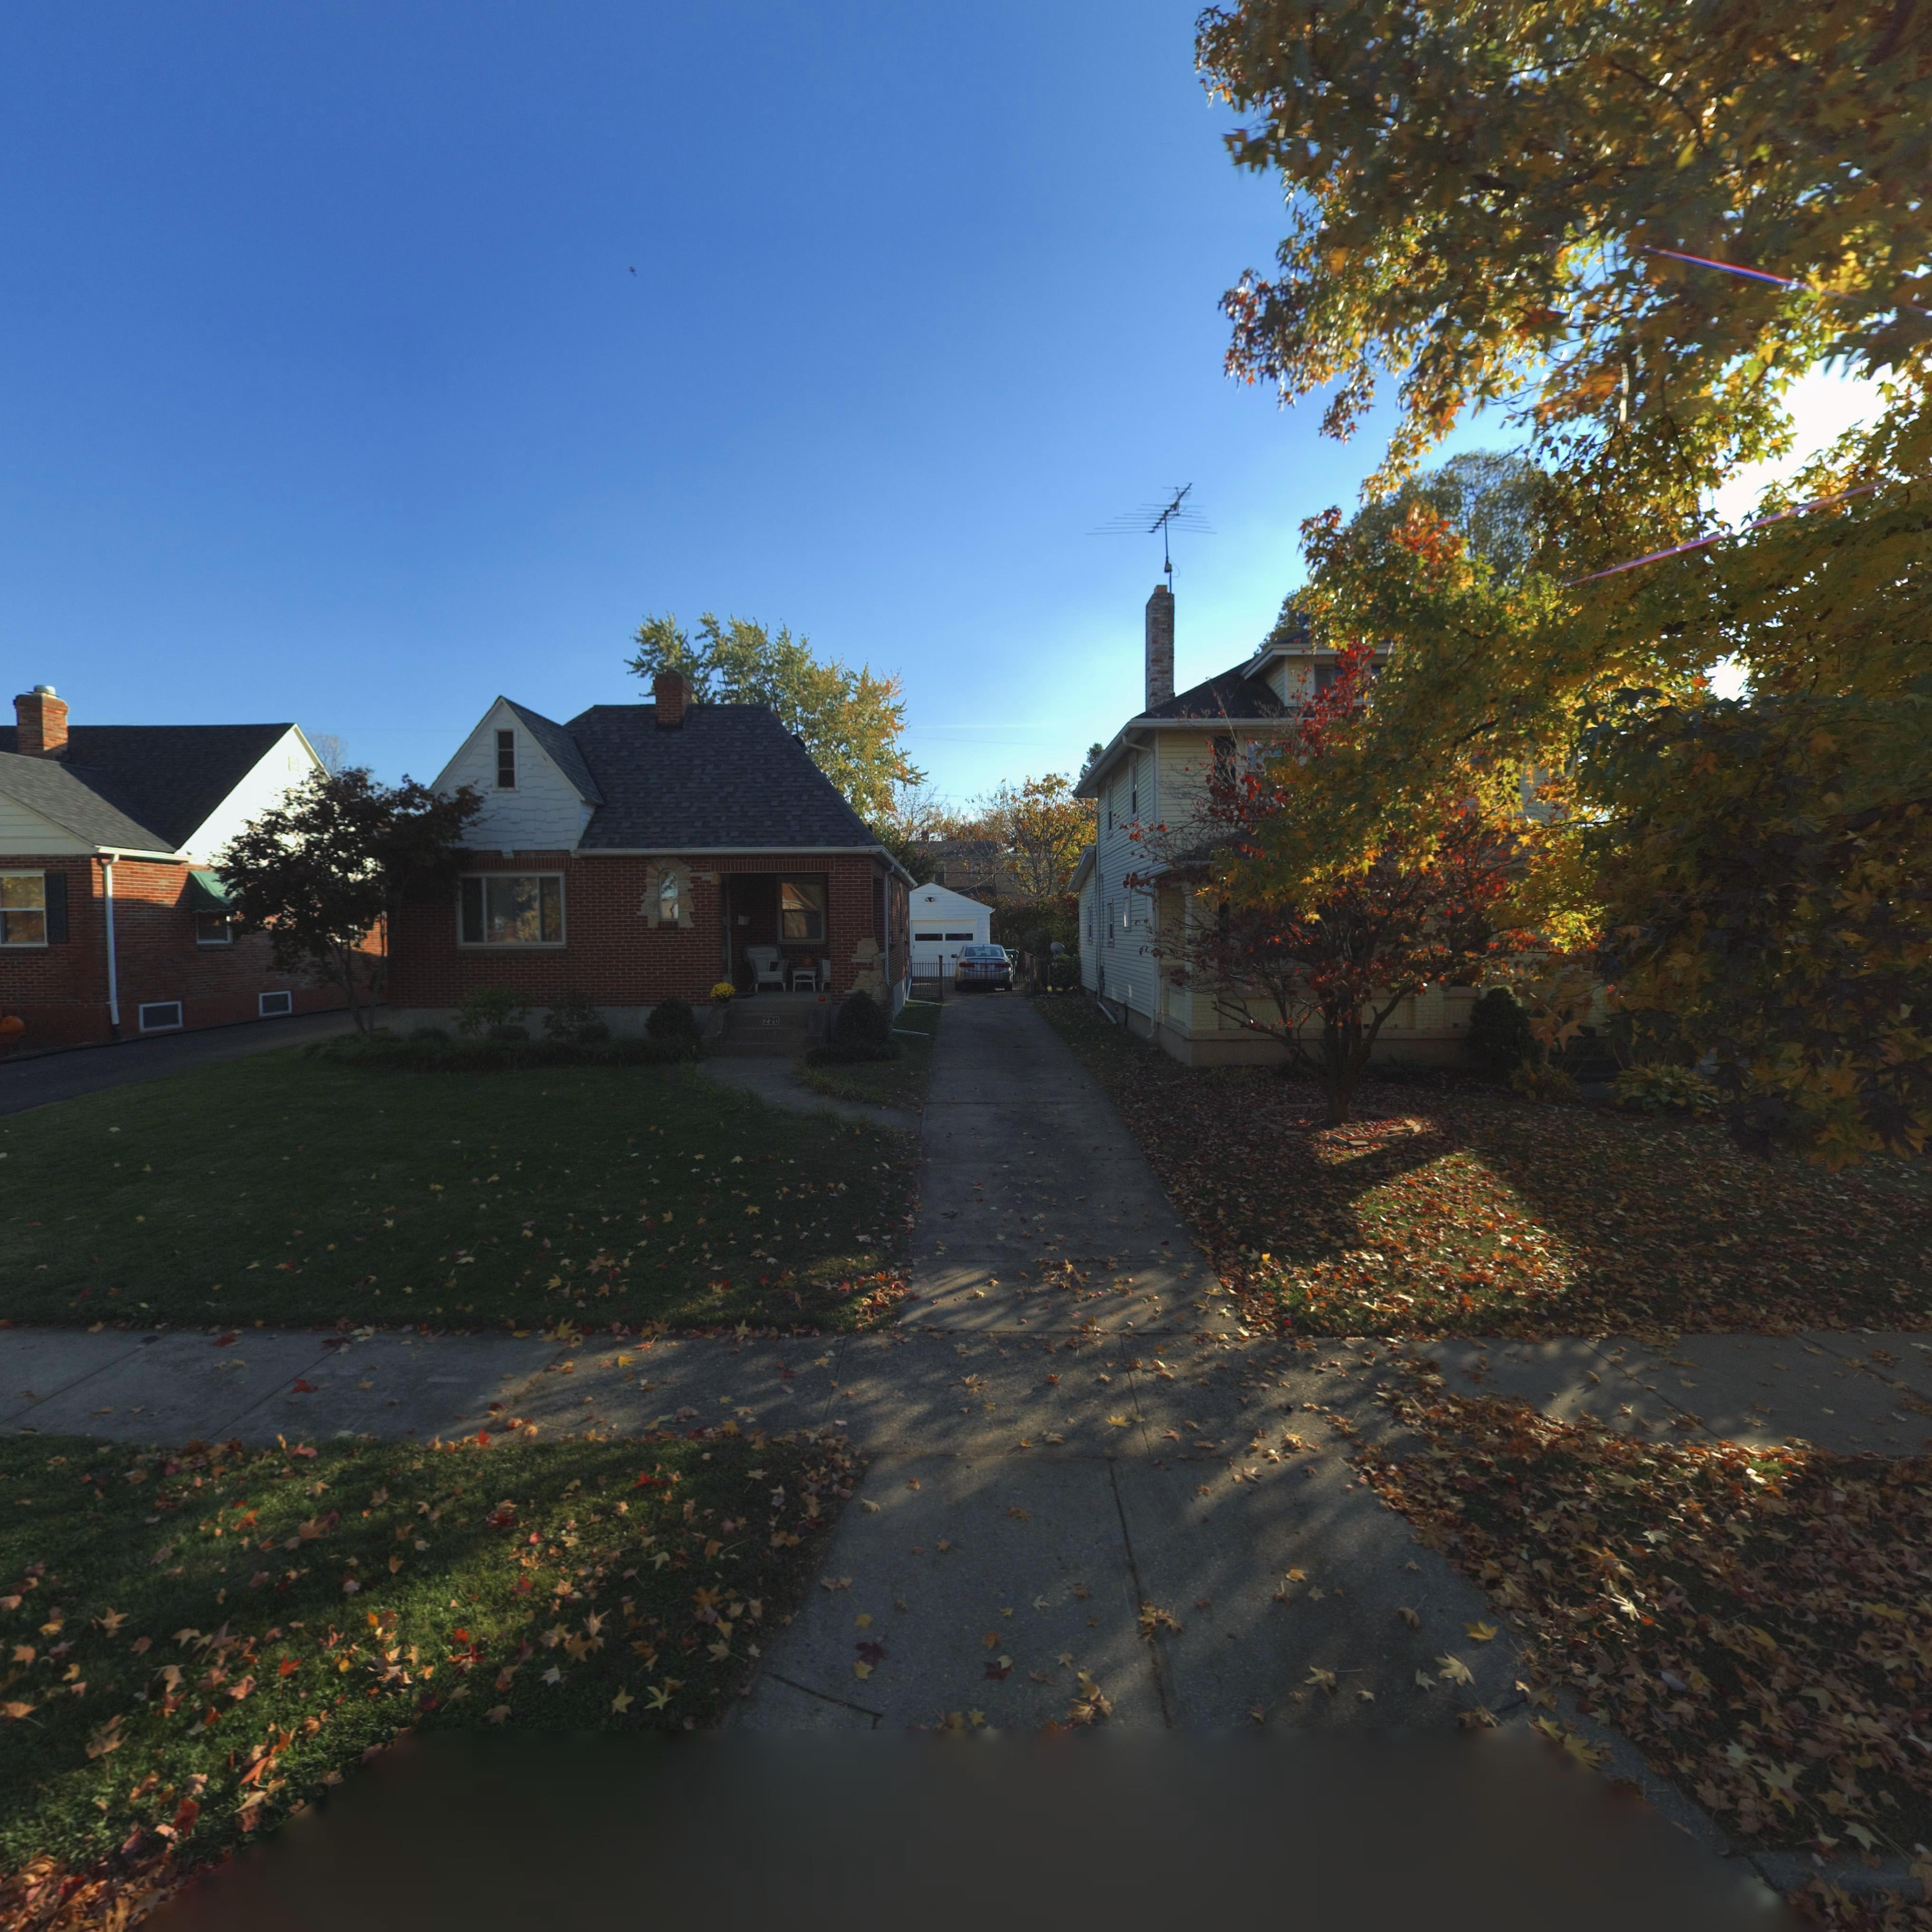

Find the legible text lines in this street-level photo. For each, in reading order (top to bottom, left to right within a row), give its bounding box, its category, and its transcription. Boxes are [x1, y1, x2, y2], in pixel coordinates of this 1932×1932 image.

[763, 1017, 779, 1025] StreetNumber: 220